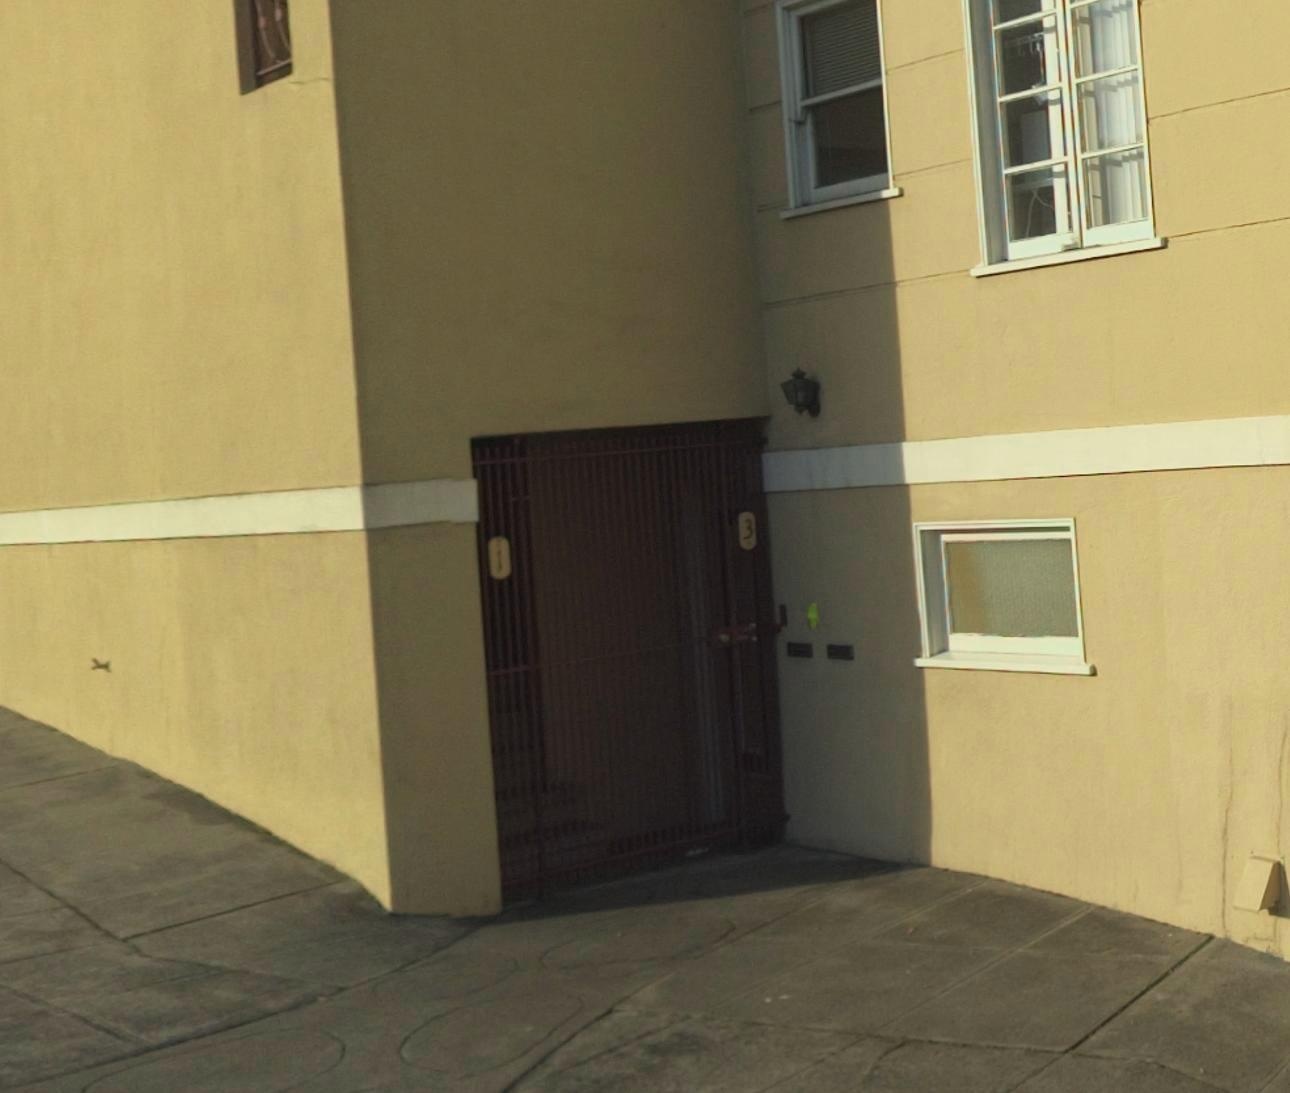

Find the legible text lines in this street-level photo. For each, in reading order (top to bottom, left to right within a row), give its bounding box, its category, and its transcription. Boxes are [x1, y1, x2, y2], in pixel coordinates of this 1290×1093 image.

[741, 516, 756, 543] StreetNumber: 3
[494, 546, 507, 574] StreetNumber: 1